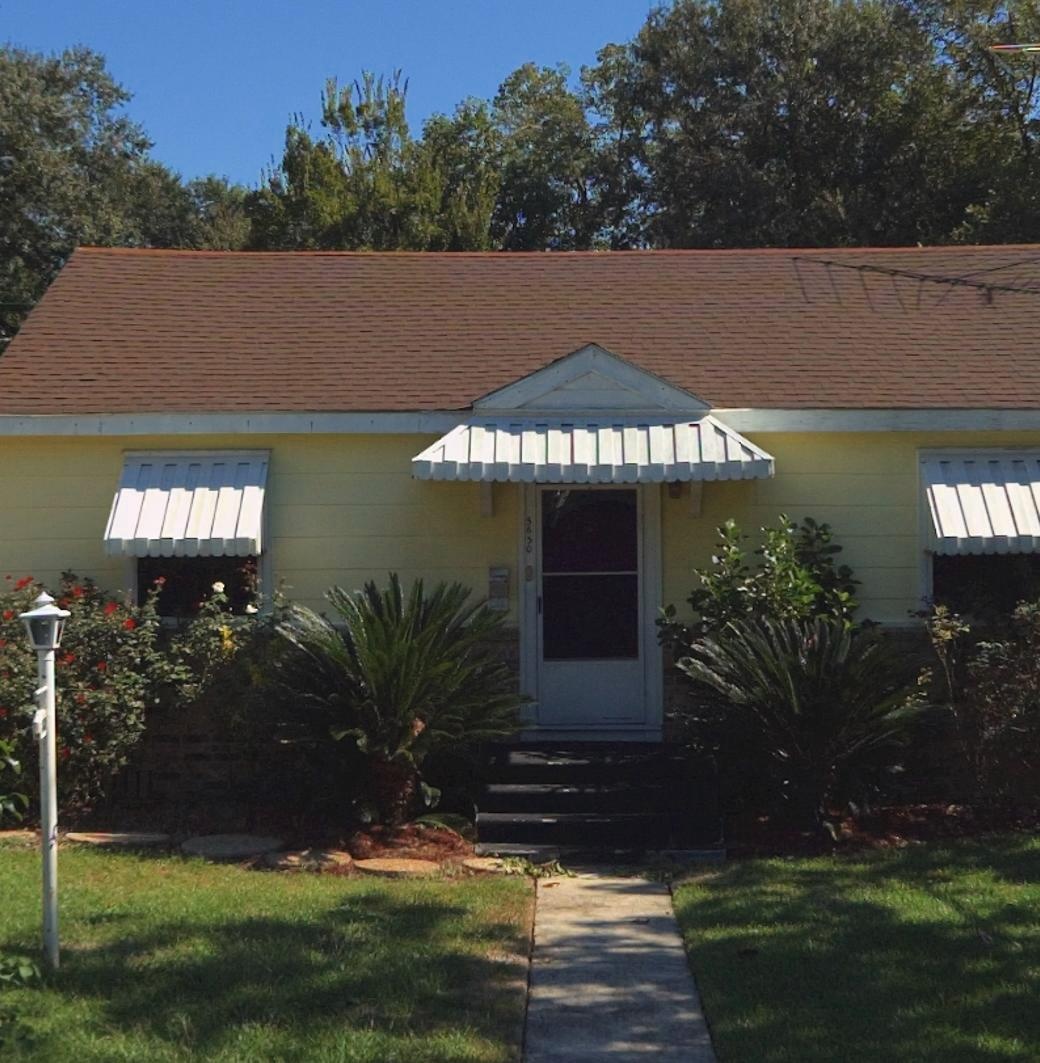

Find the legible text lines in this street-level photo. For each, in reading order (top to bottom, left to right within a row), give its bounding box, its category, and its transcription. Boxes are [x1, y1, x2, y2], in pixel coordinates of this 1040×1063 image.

[525, 514, 533, 555] StreetNumber: 5650